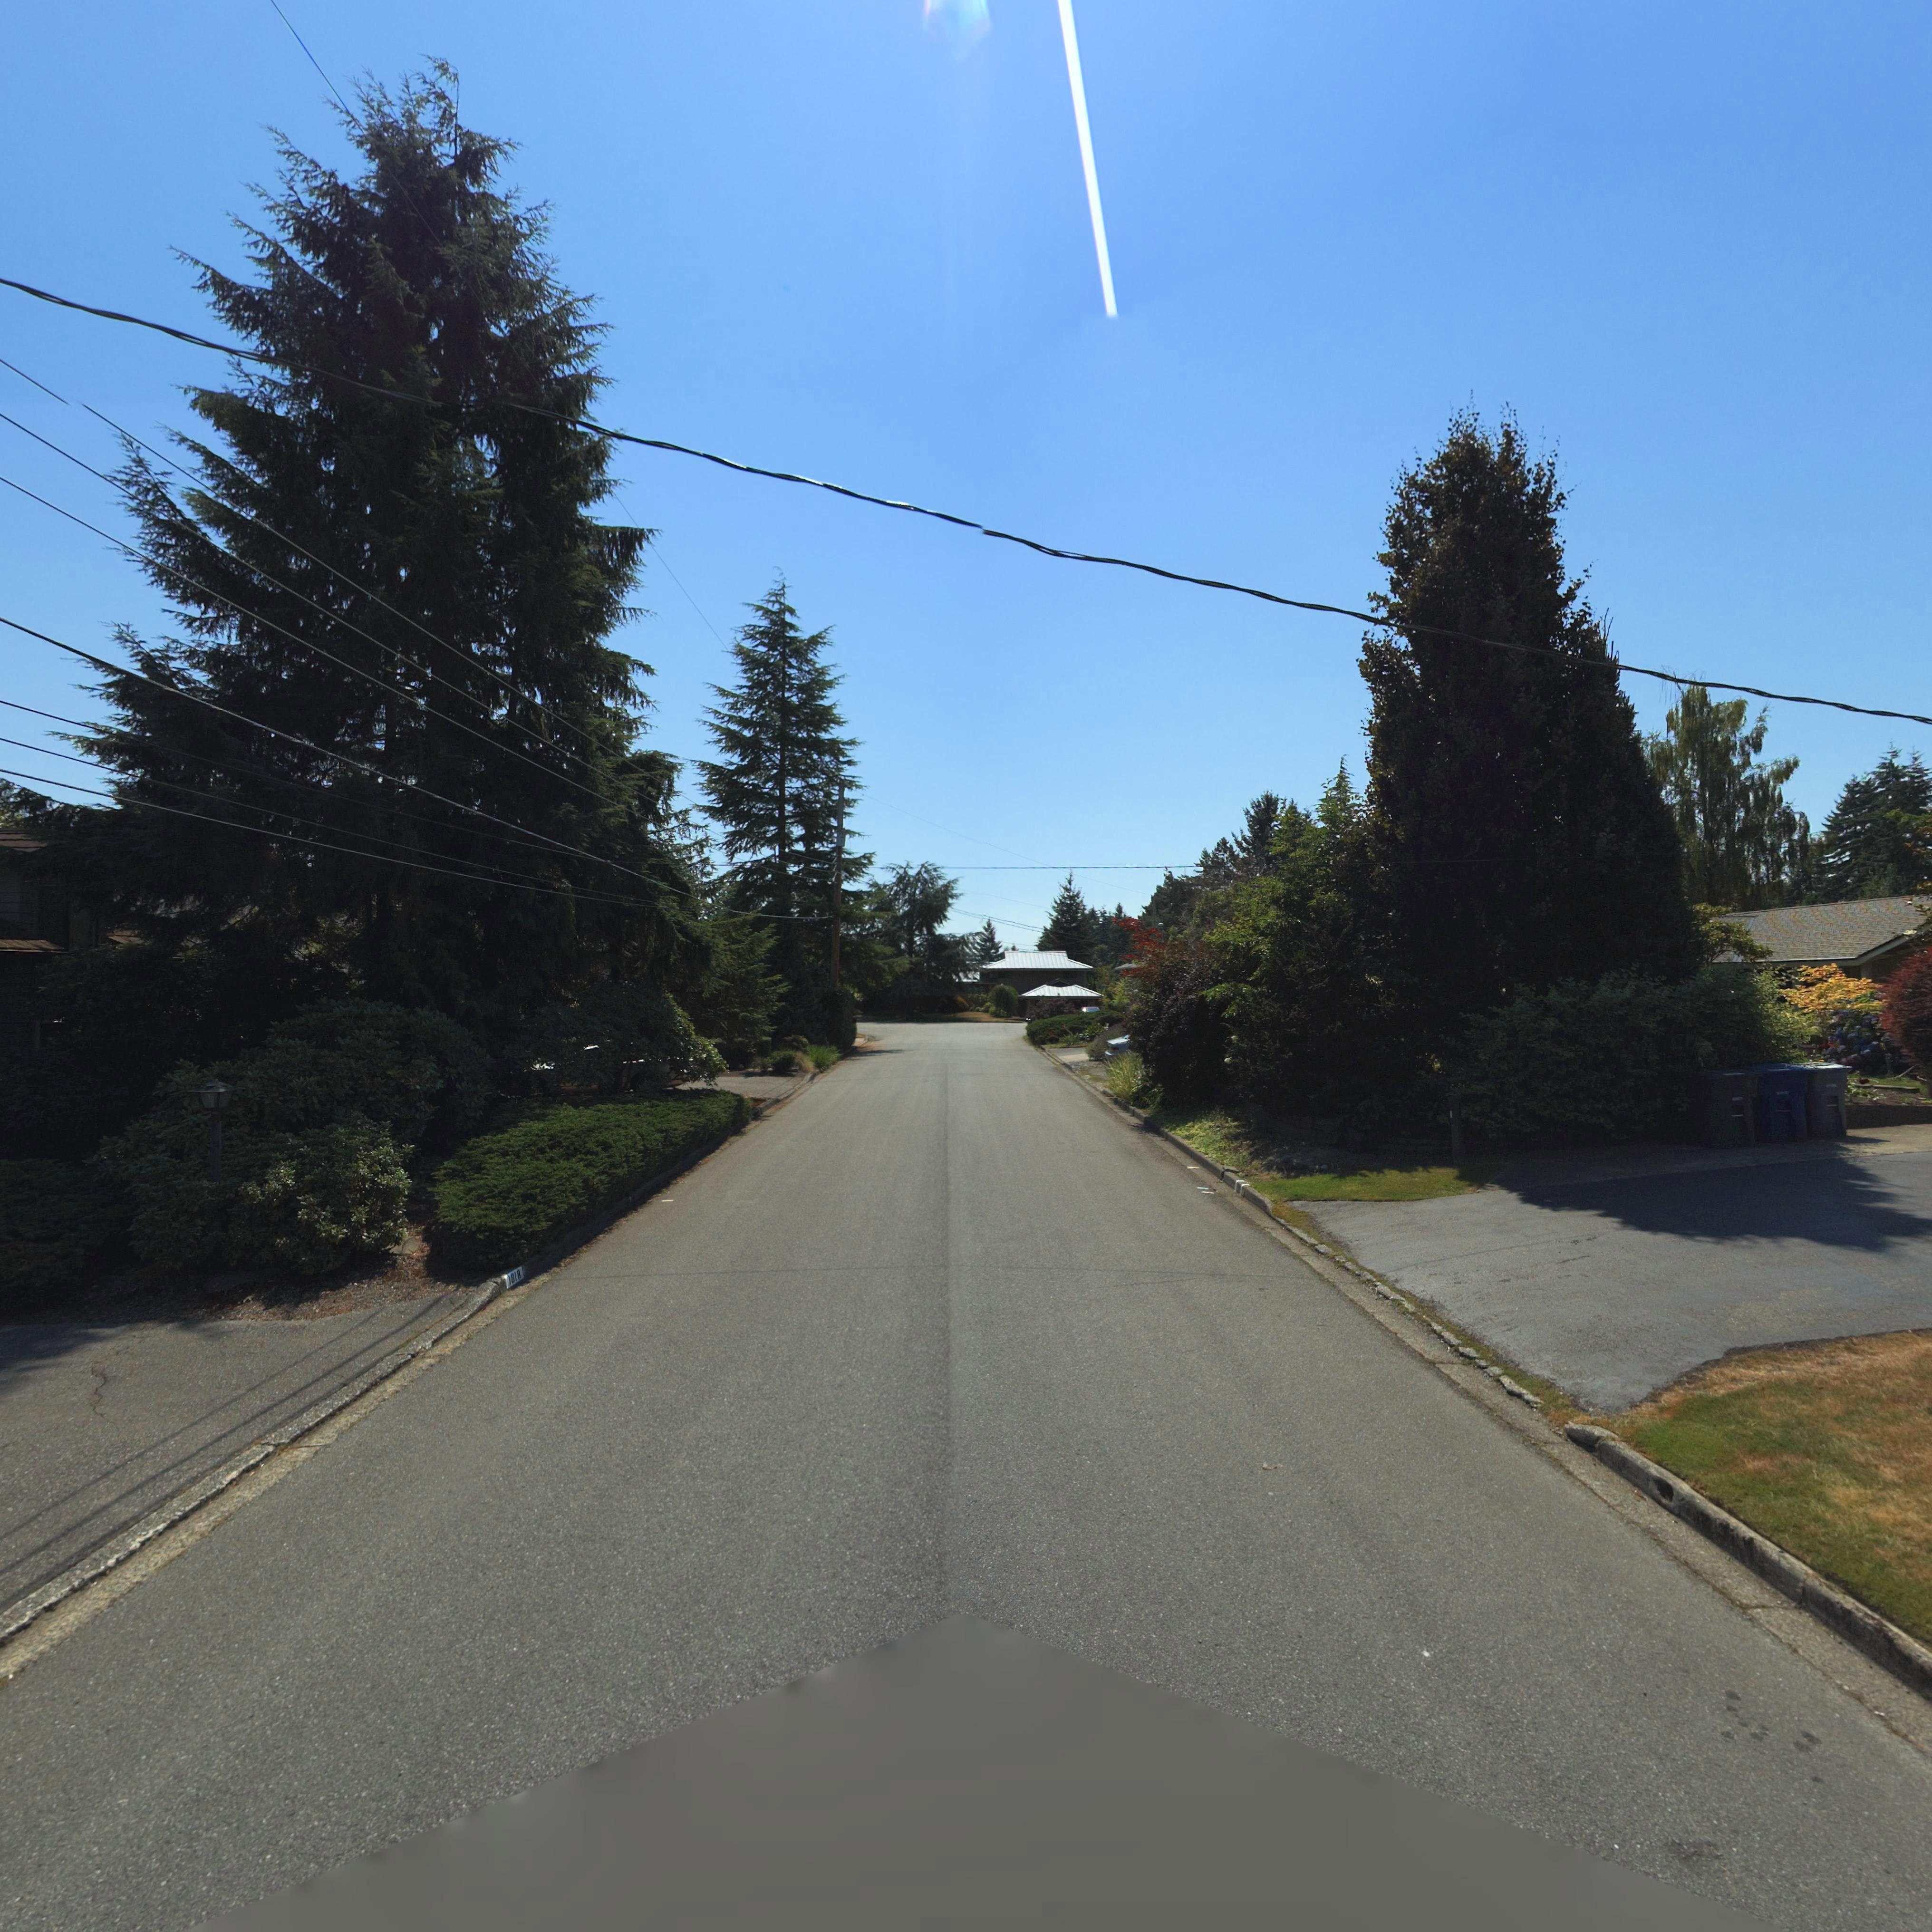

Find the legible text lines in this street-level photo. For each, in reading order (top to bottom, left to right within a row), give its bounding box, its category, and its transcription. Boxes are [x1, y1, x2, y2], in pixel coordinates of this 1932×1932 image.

[507, 1268, 522, 1285] StreetNumber: 1818